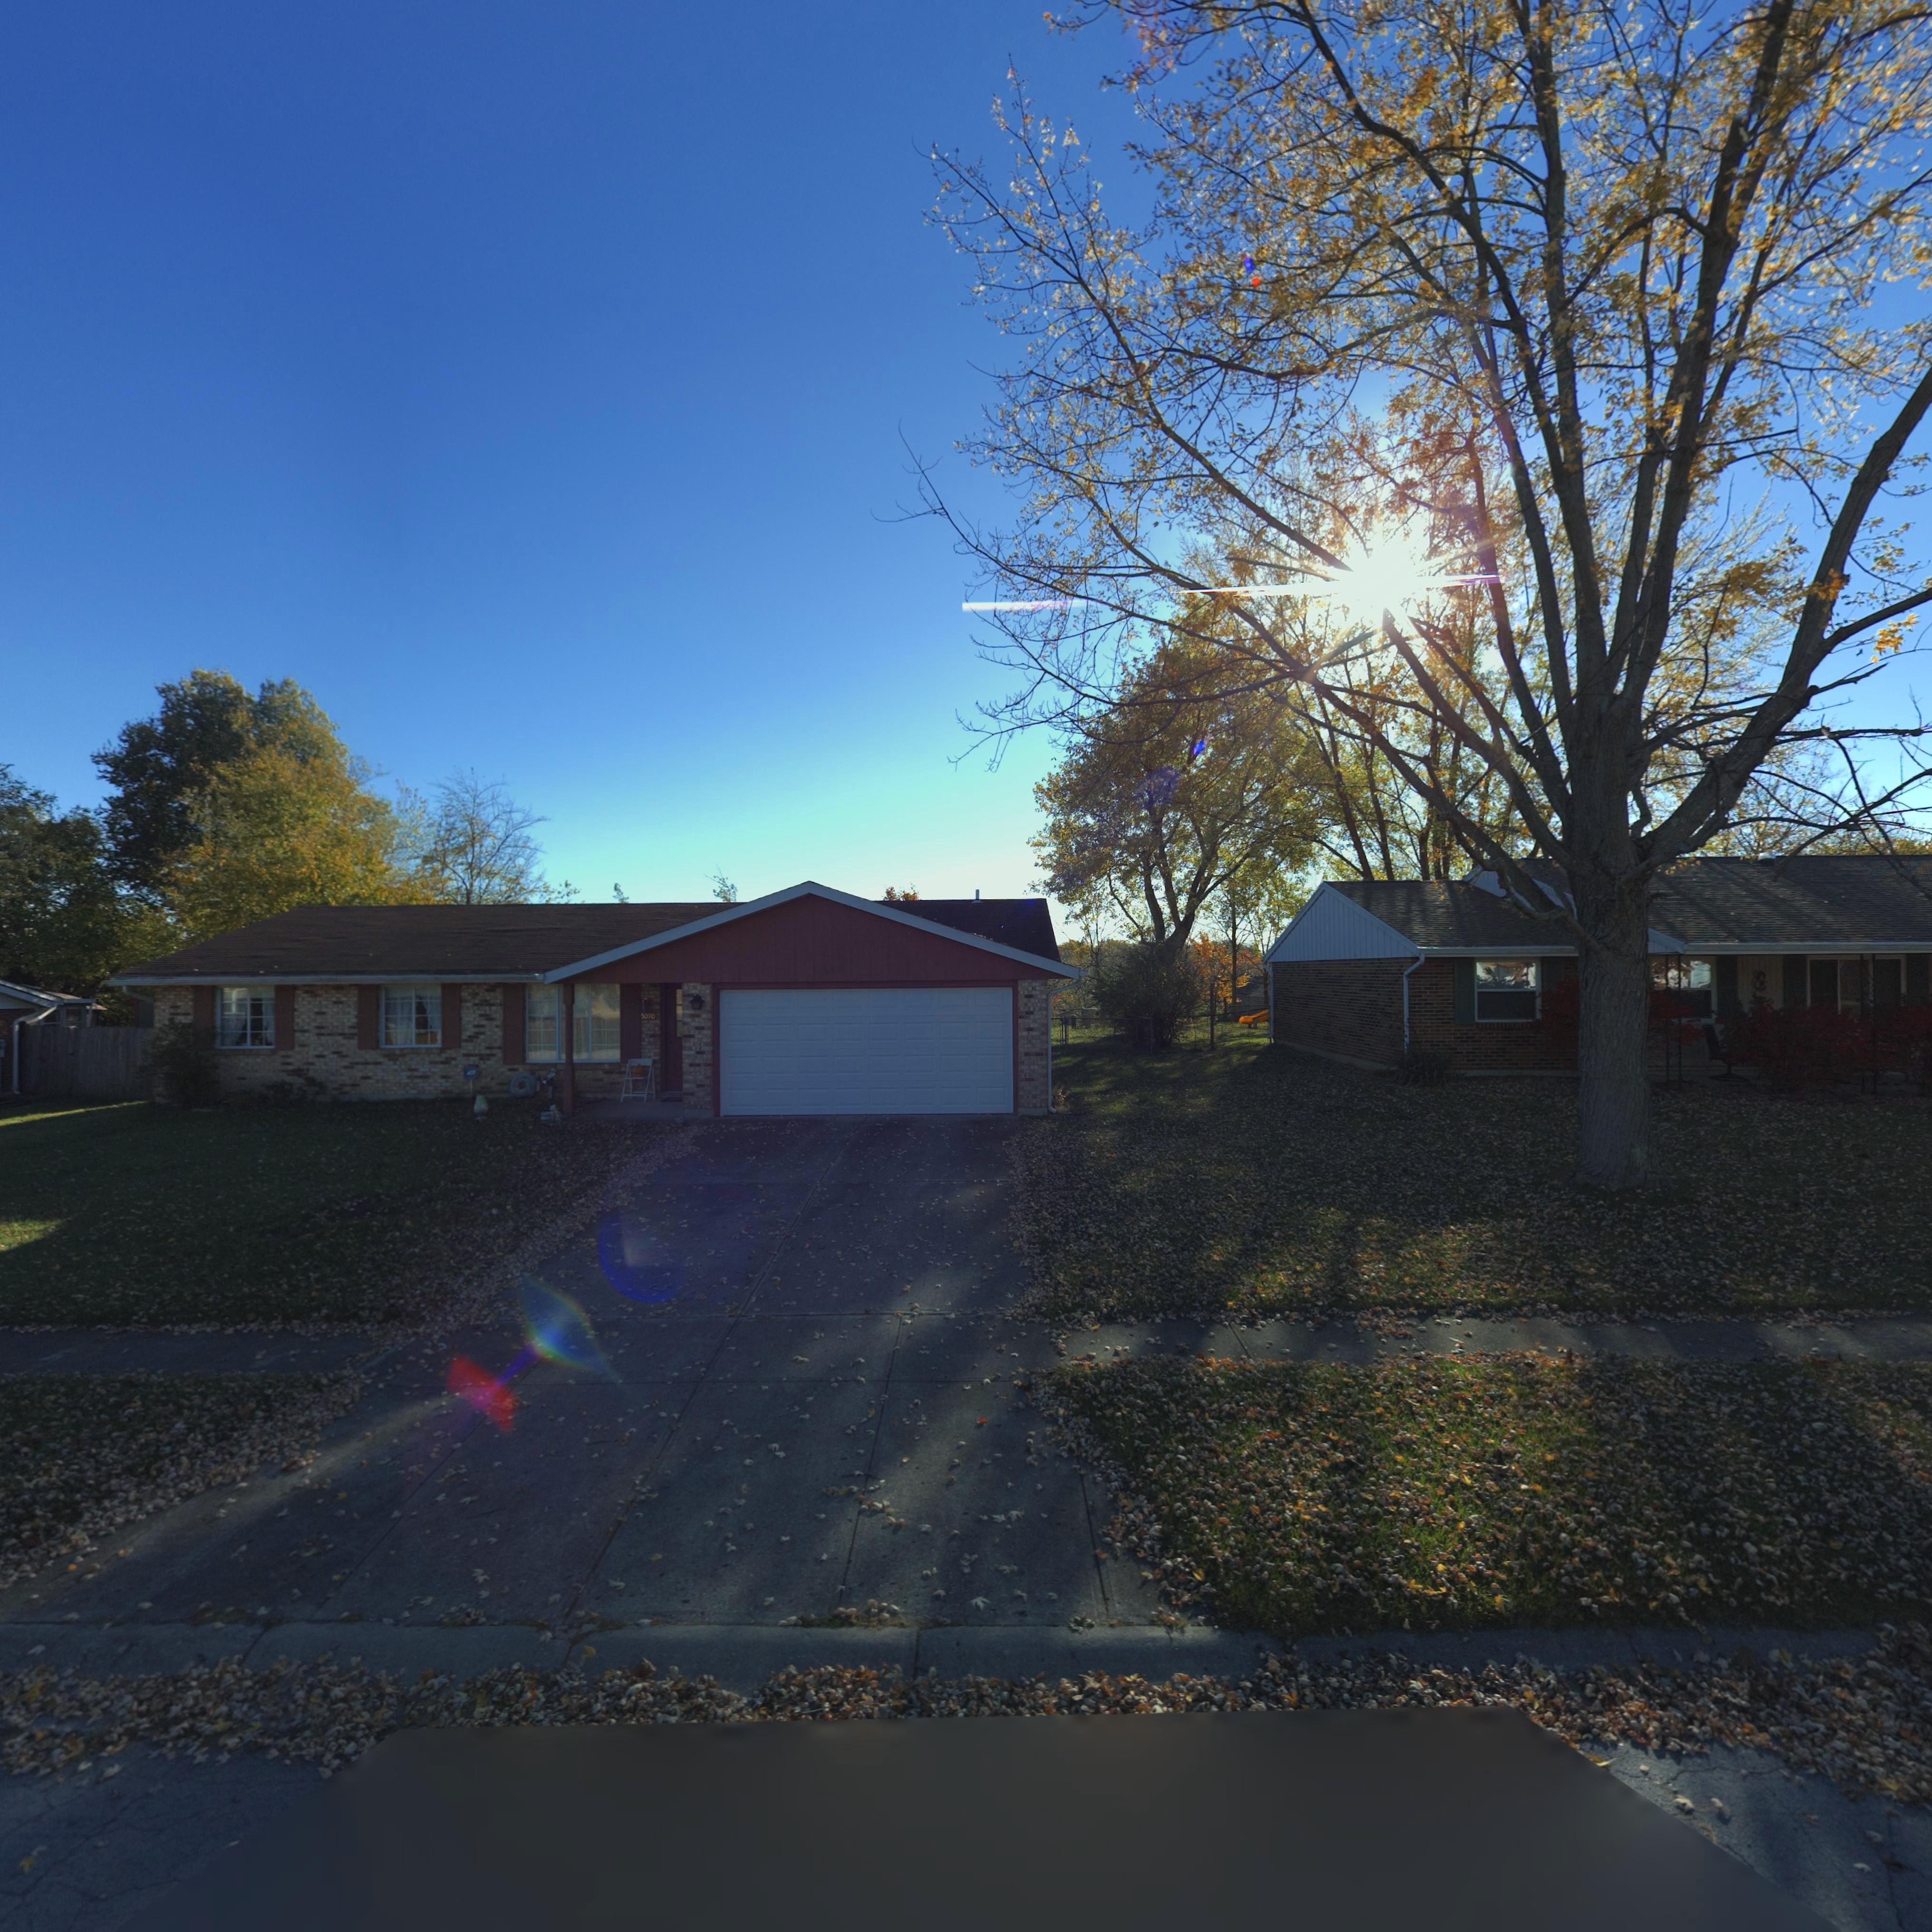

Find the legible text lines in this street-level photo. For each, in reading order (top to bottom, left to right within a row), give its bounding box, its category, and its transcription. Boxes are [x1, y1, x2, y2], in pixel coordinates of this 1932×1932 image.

[640, 1013, 656, 1019] StreetNumber: 5090